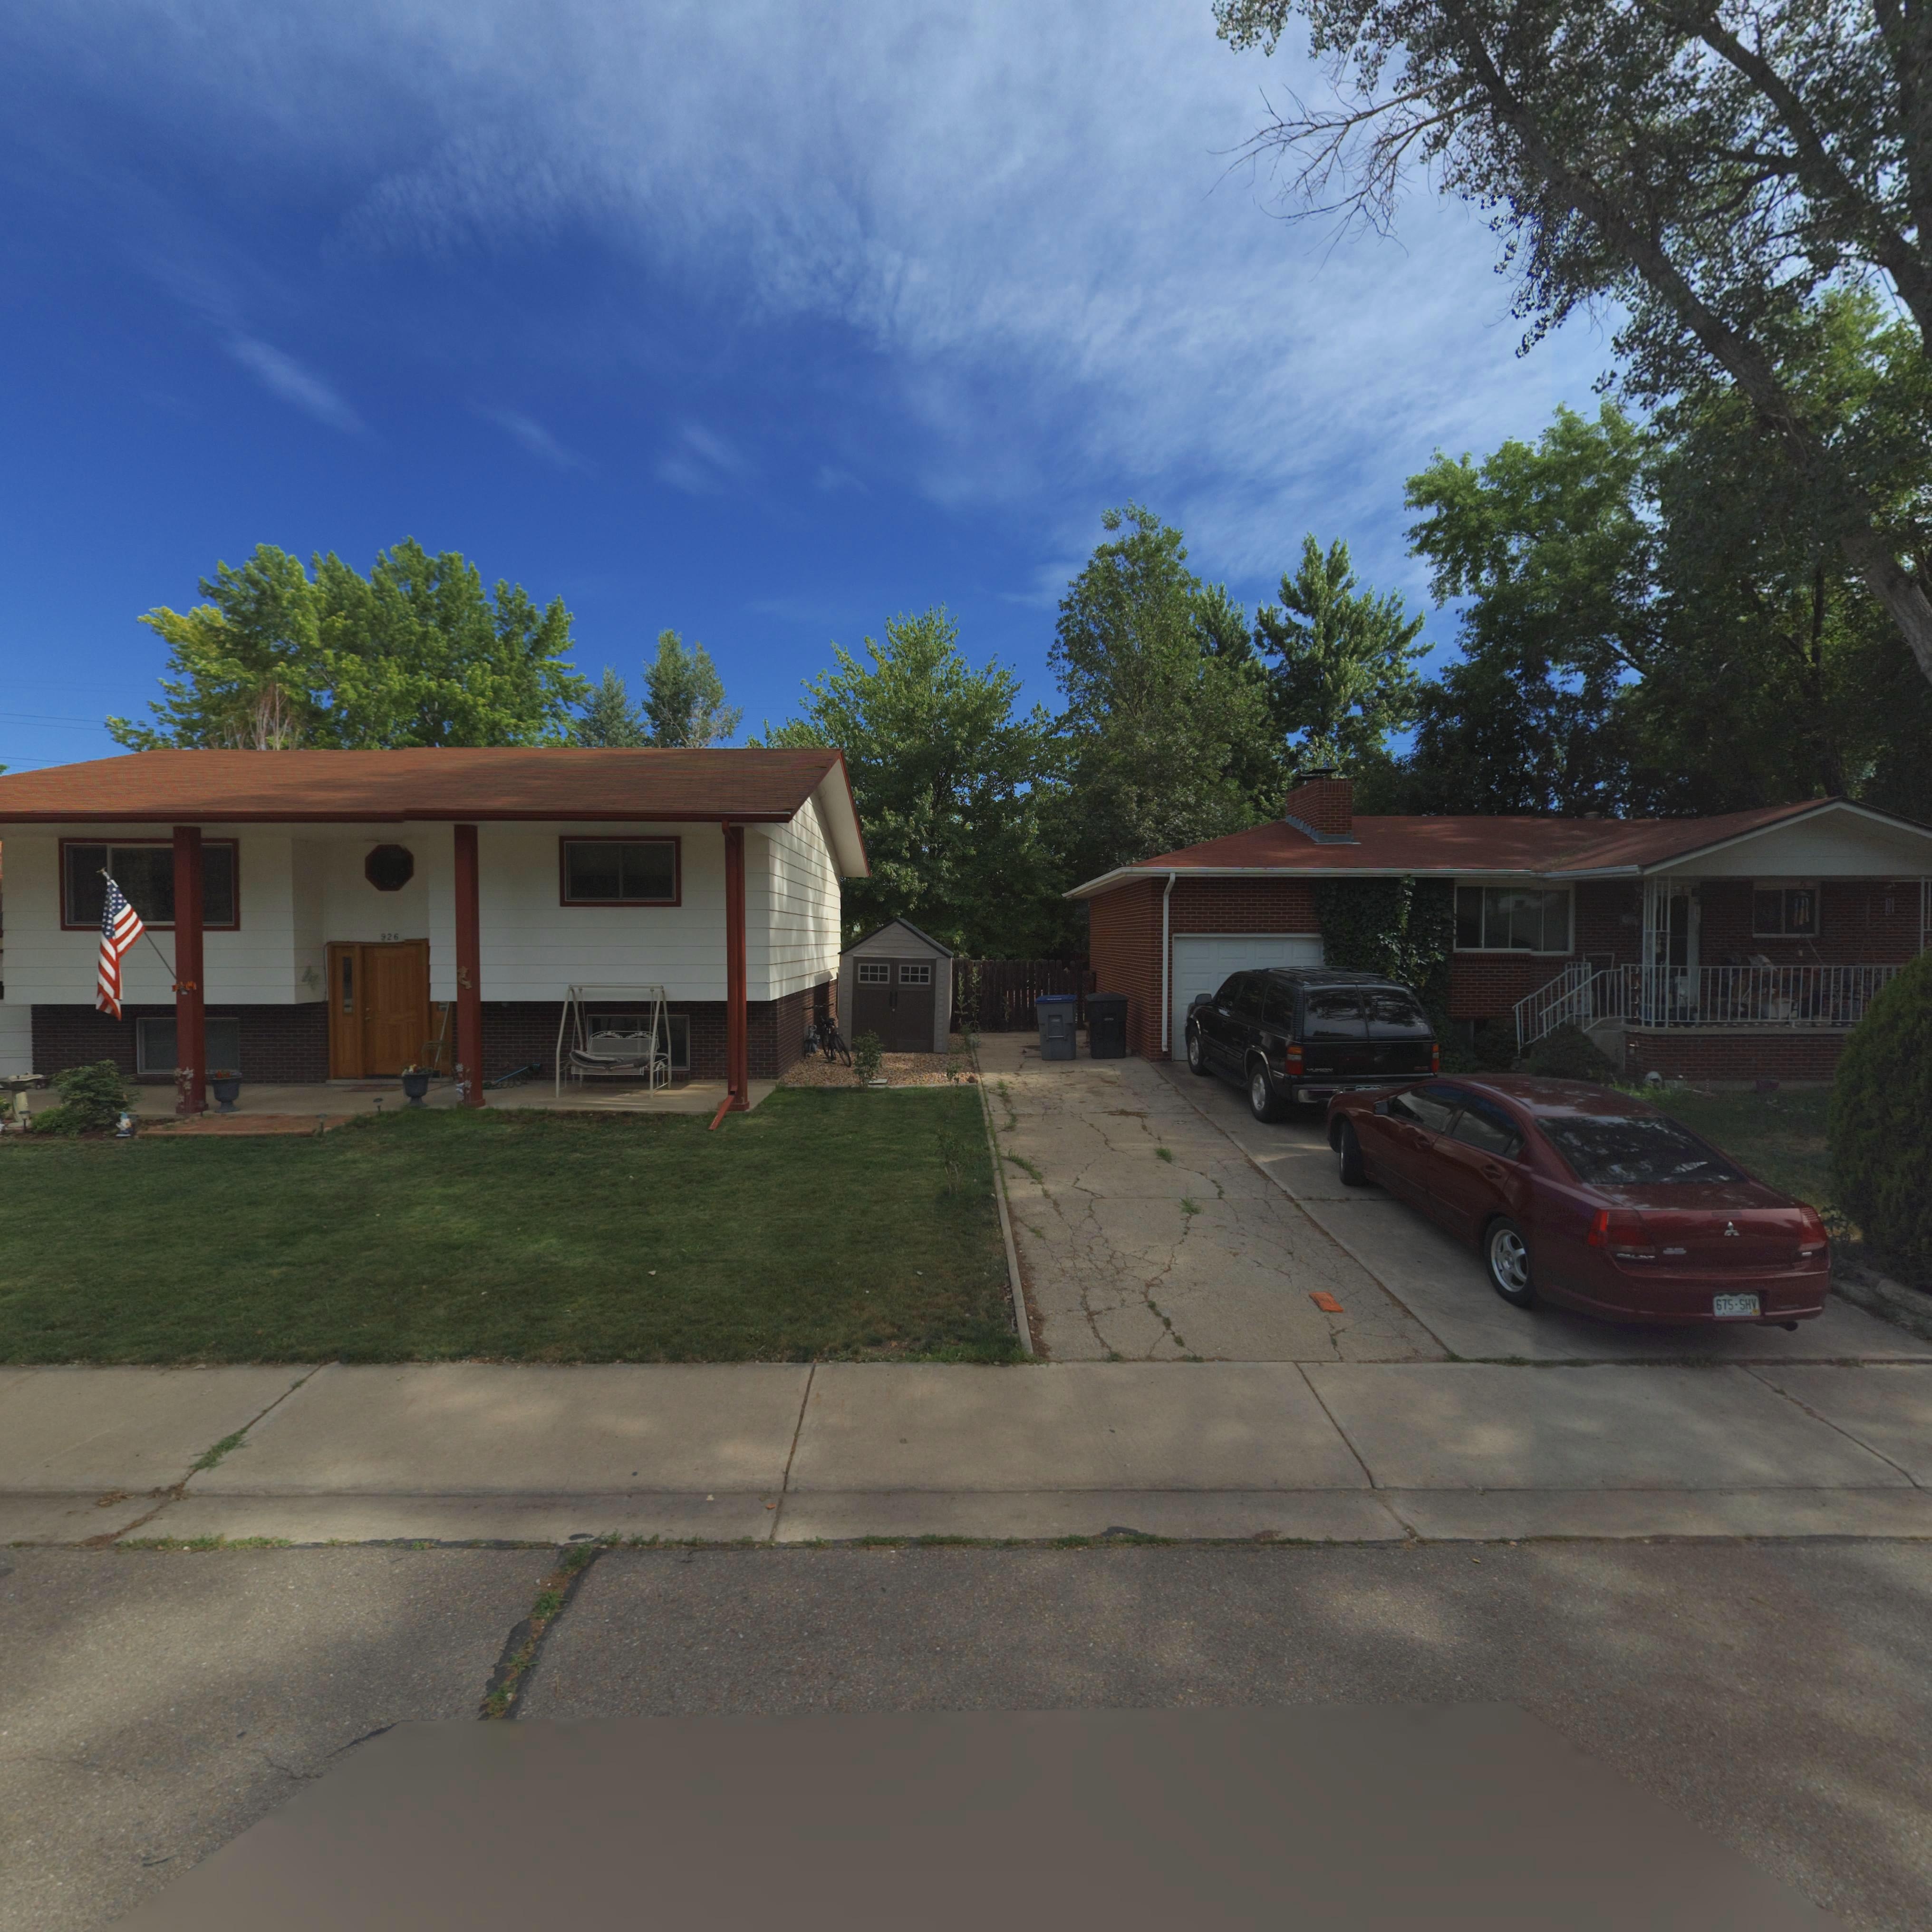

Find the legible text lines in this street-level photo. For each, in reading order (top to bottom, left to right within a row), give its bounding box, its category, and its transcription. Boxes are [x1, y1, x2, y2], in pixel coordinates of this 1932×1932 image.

[381, 932, 399, 940] StreetNumber: 926